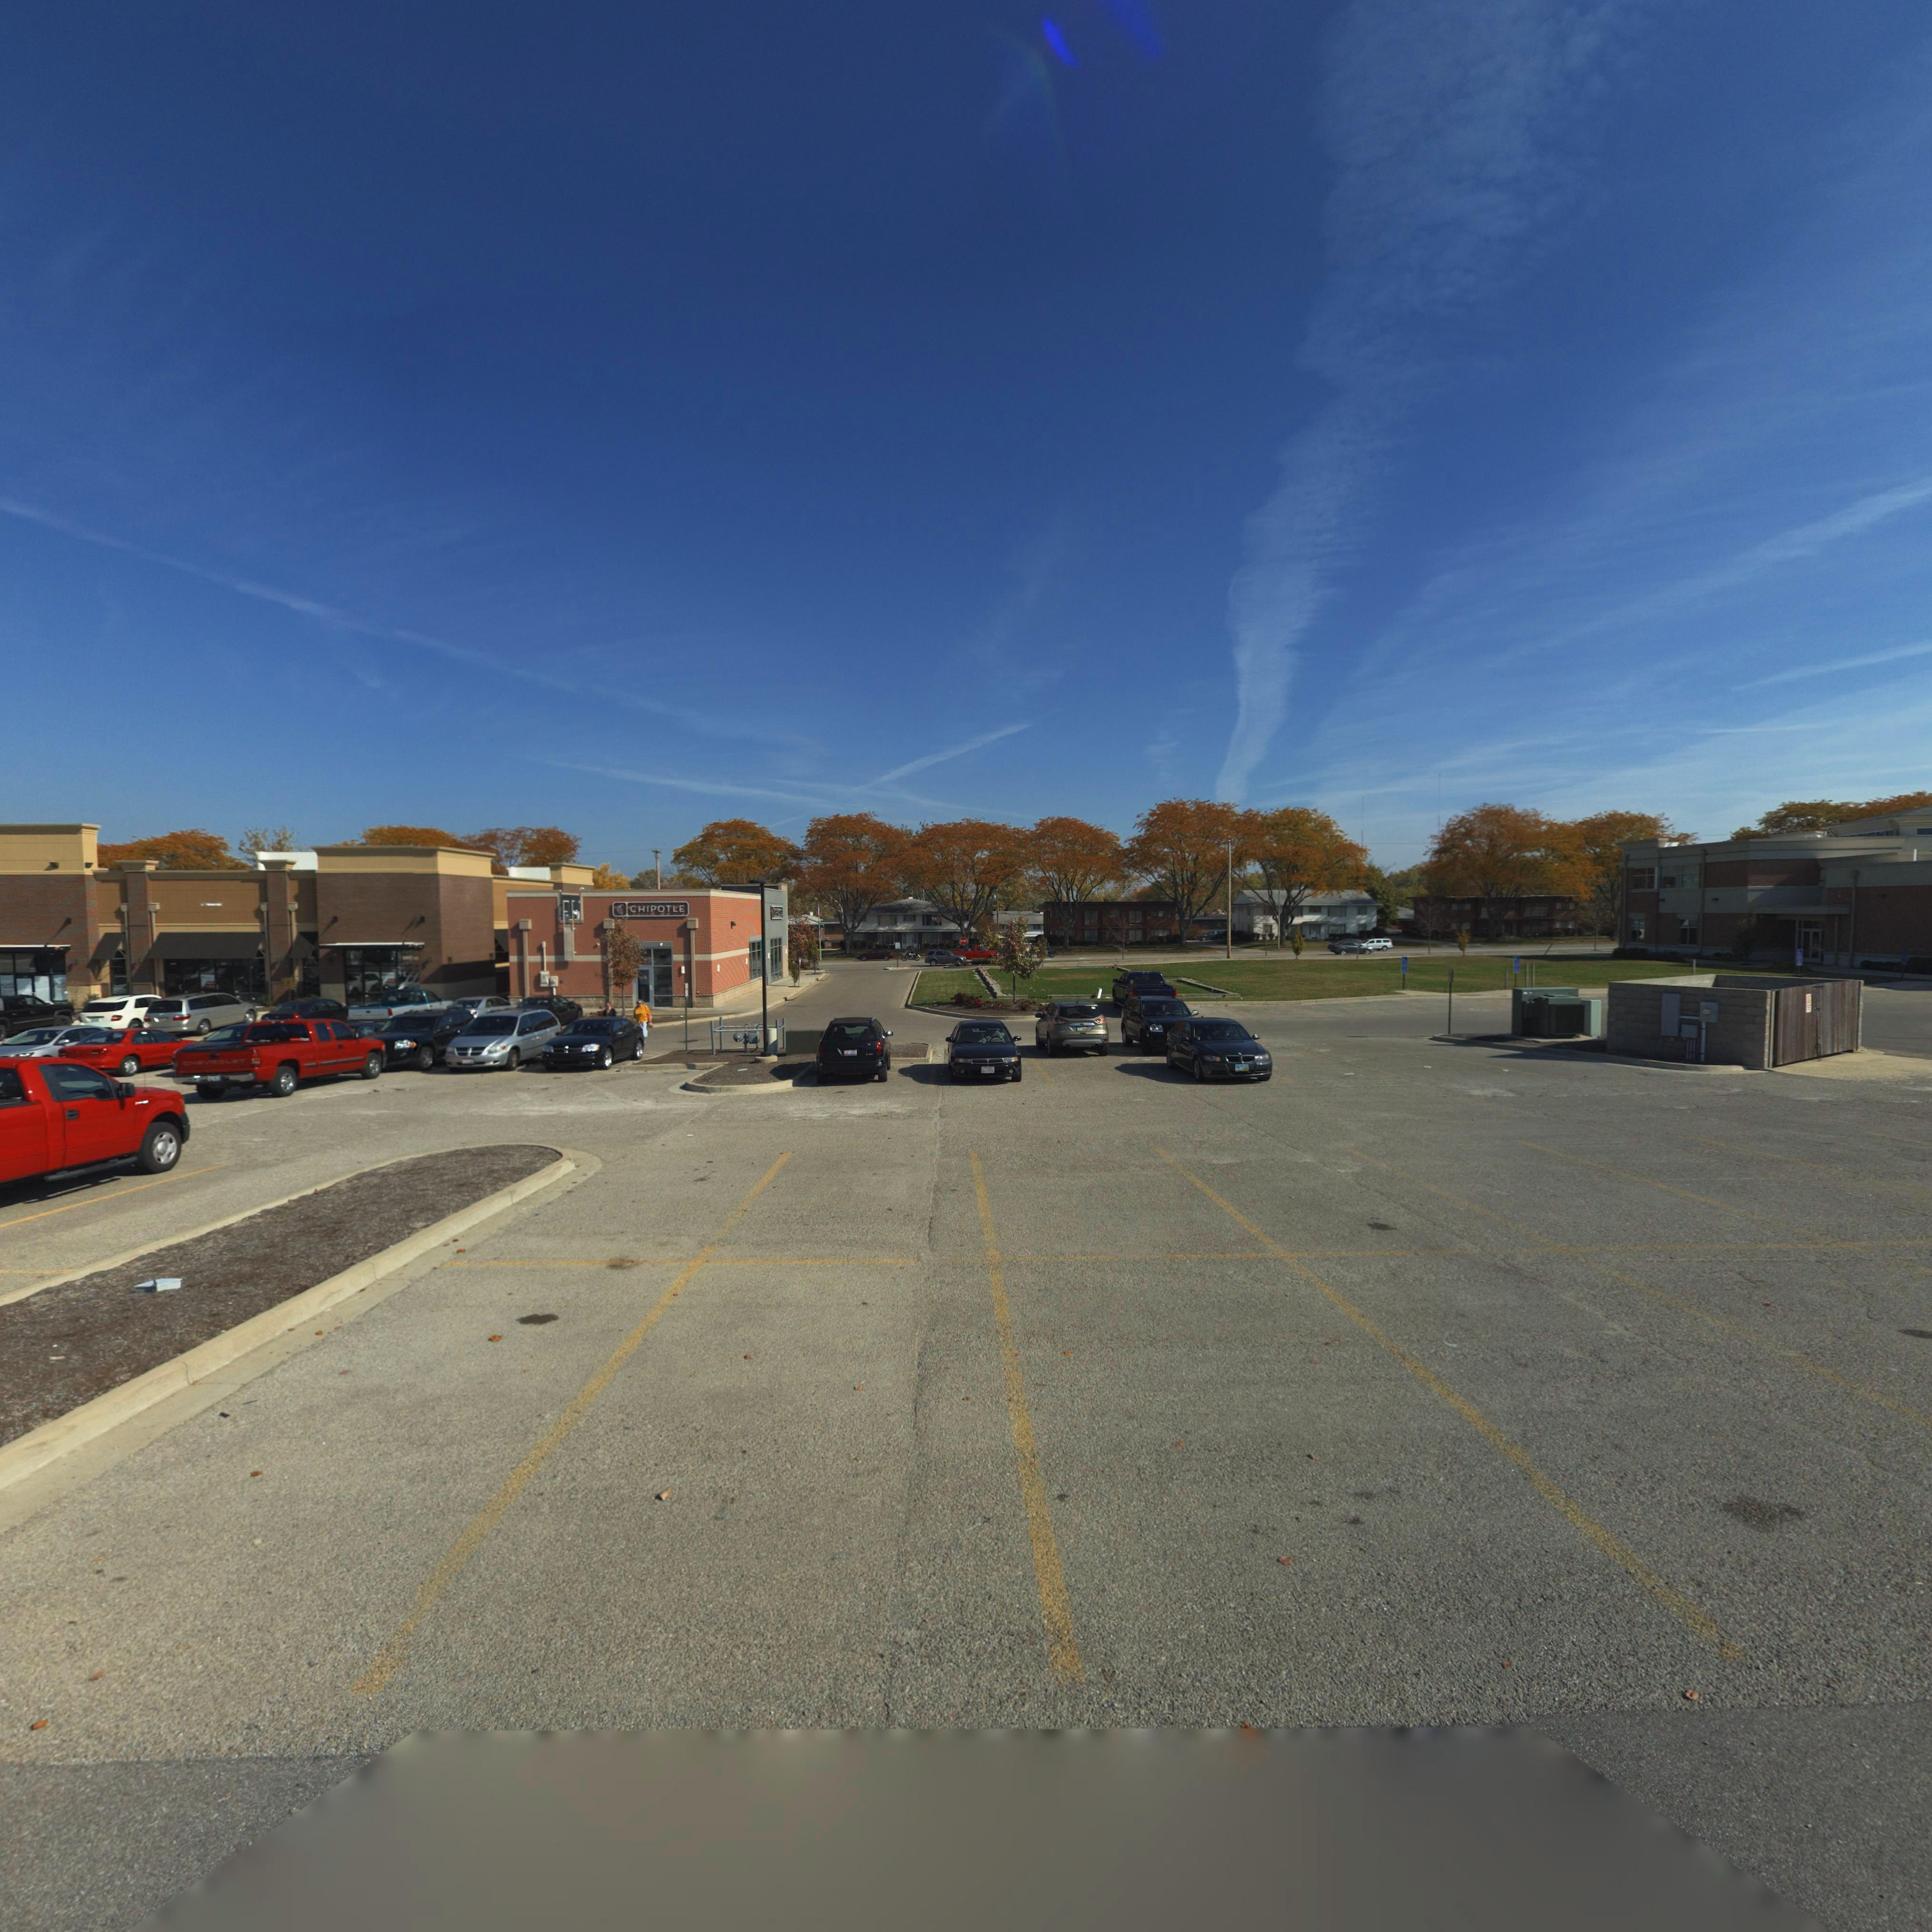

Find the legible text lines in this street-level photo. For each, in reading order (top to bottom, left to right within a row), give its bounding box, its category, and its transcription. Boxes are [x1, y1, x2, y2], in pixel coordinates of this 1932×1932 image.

[629, 904, 686, 914] BusinessName: CHIPOTLE